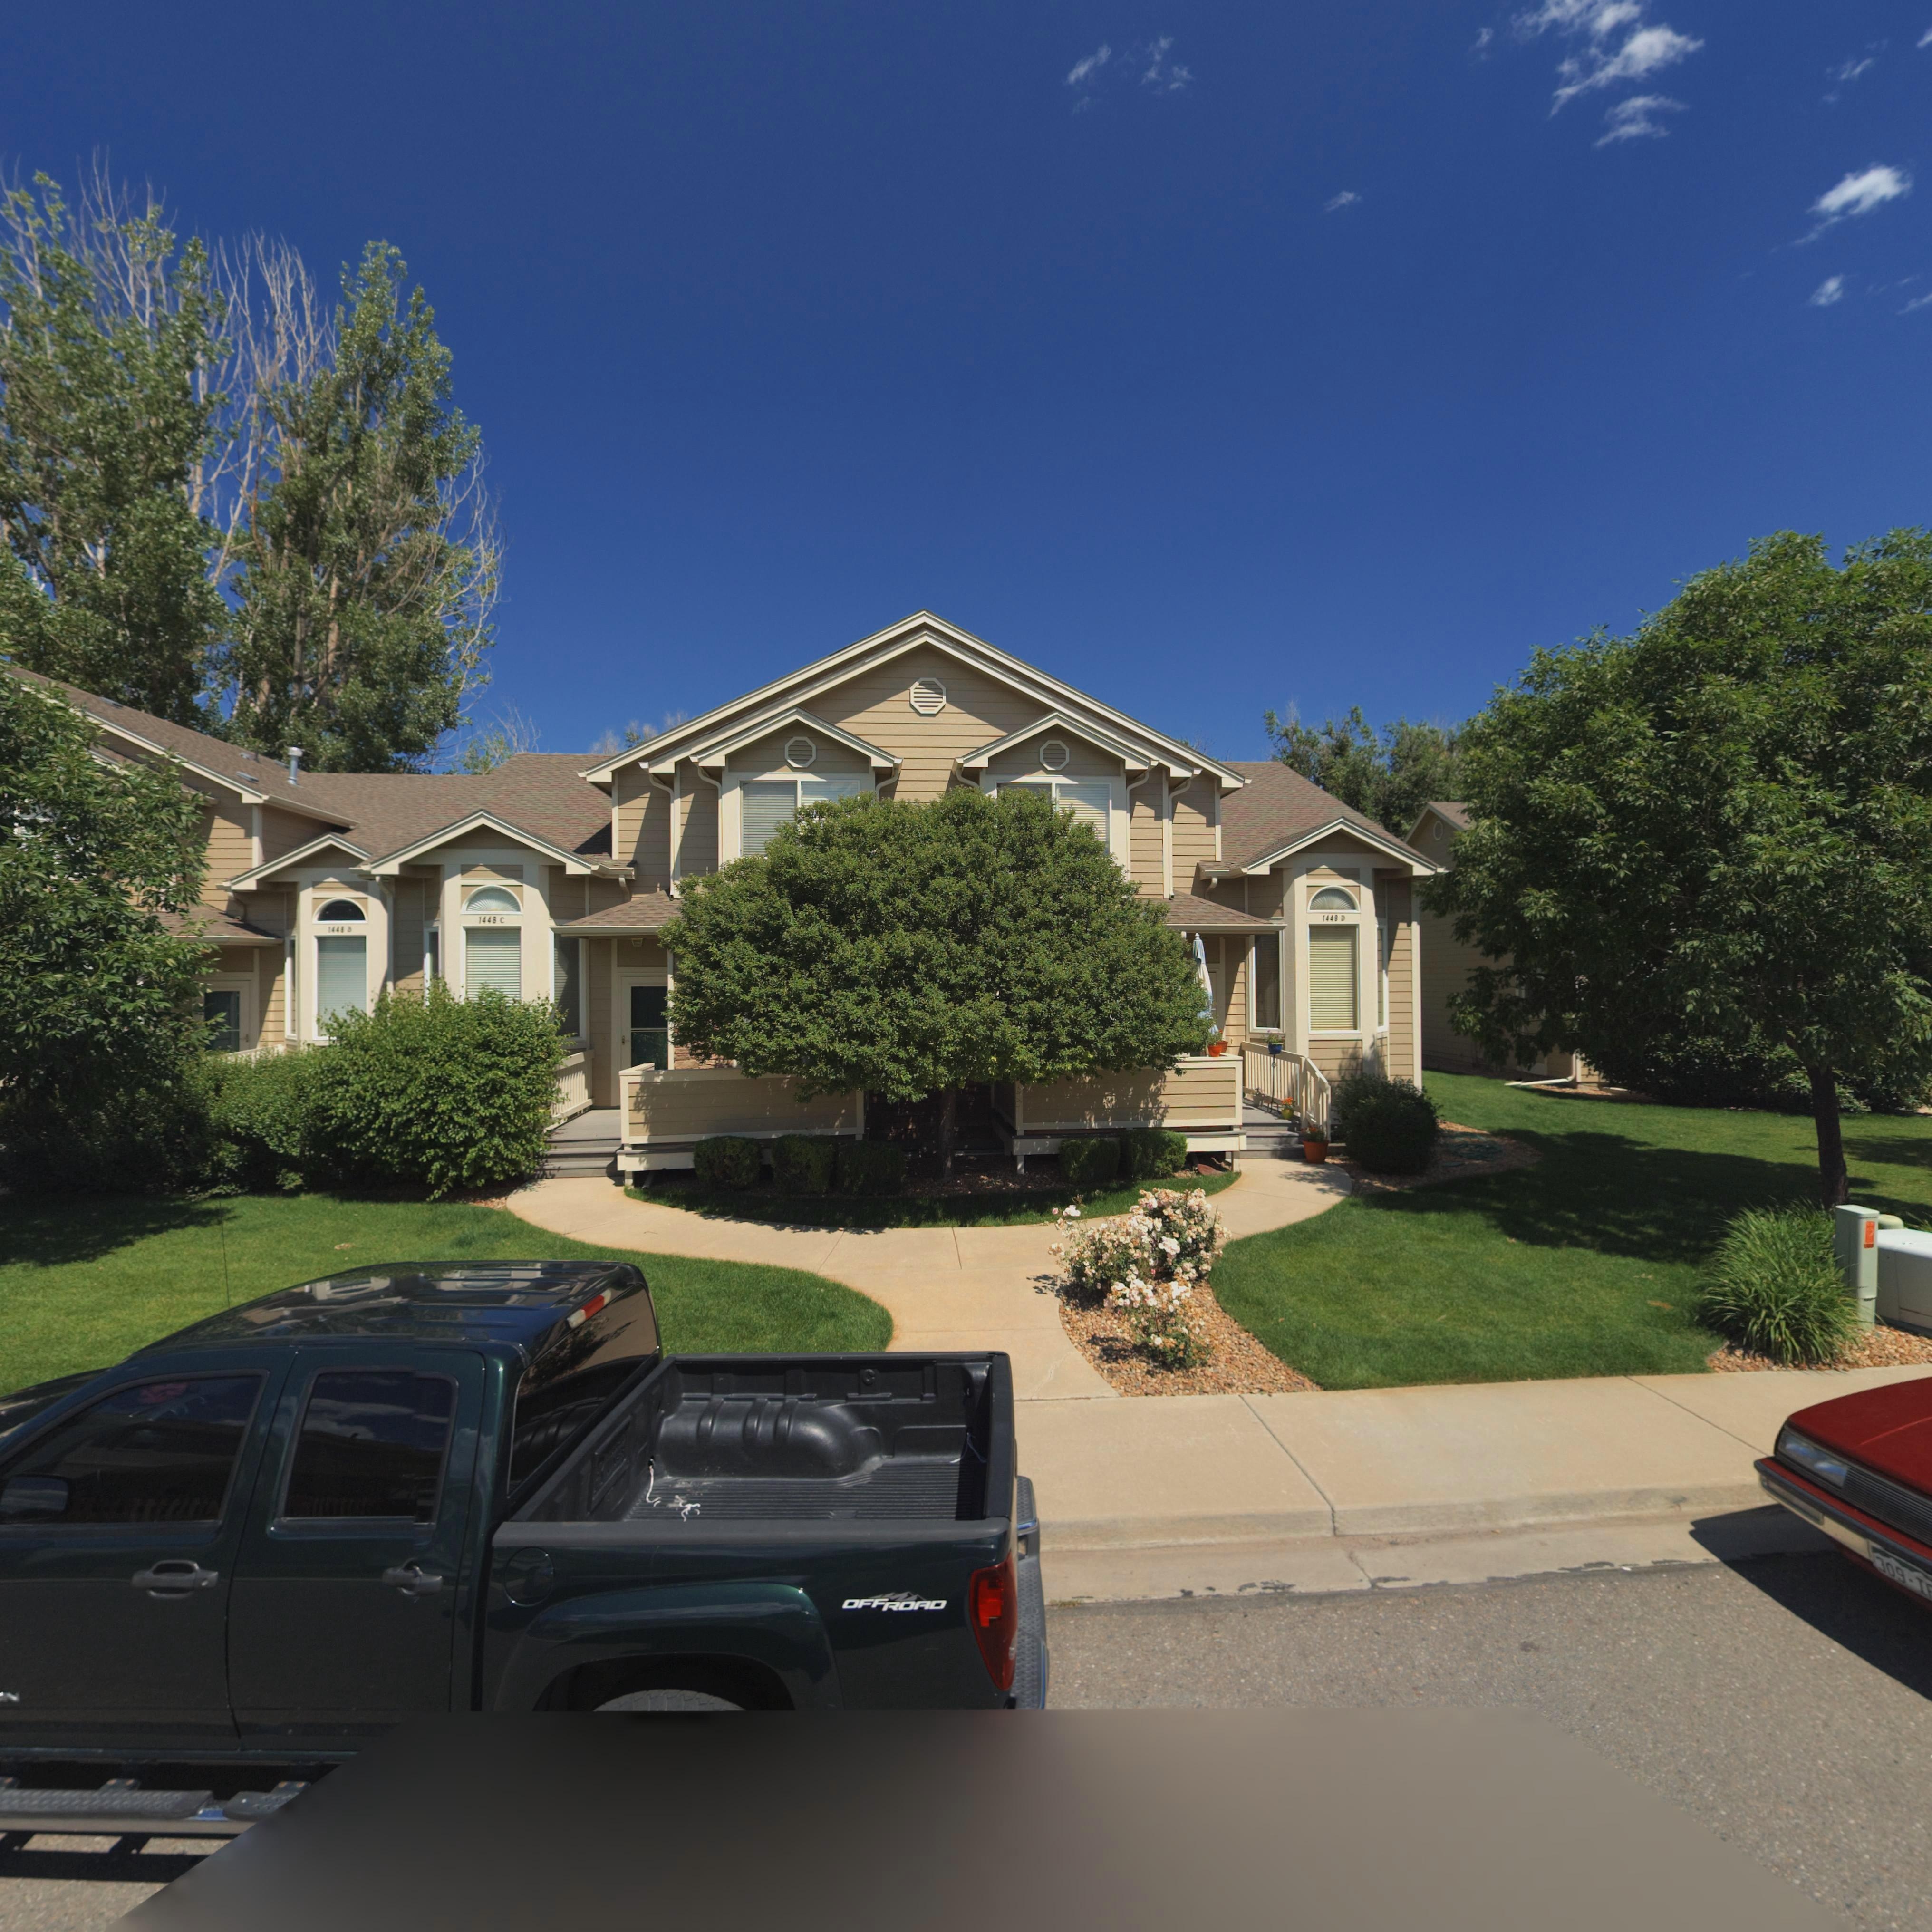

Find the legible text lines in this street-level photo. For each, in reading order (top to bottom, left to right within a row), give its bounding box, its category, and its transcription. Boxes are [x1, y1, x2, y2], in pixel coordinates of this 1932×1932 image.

[478, 916, 505, 924] StreetNumber: 1448 C
[1322, 914, 1345, 922] StreetNumber: 1448 D
[328, 926, 352, 933] StreetNumber: 144* B